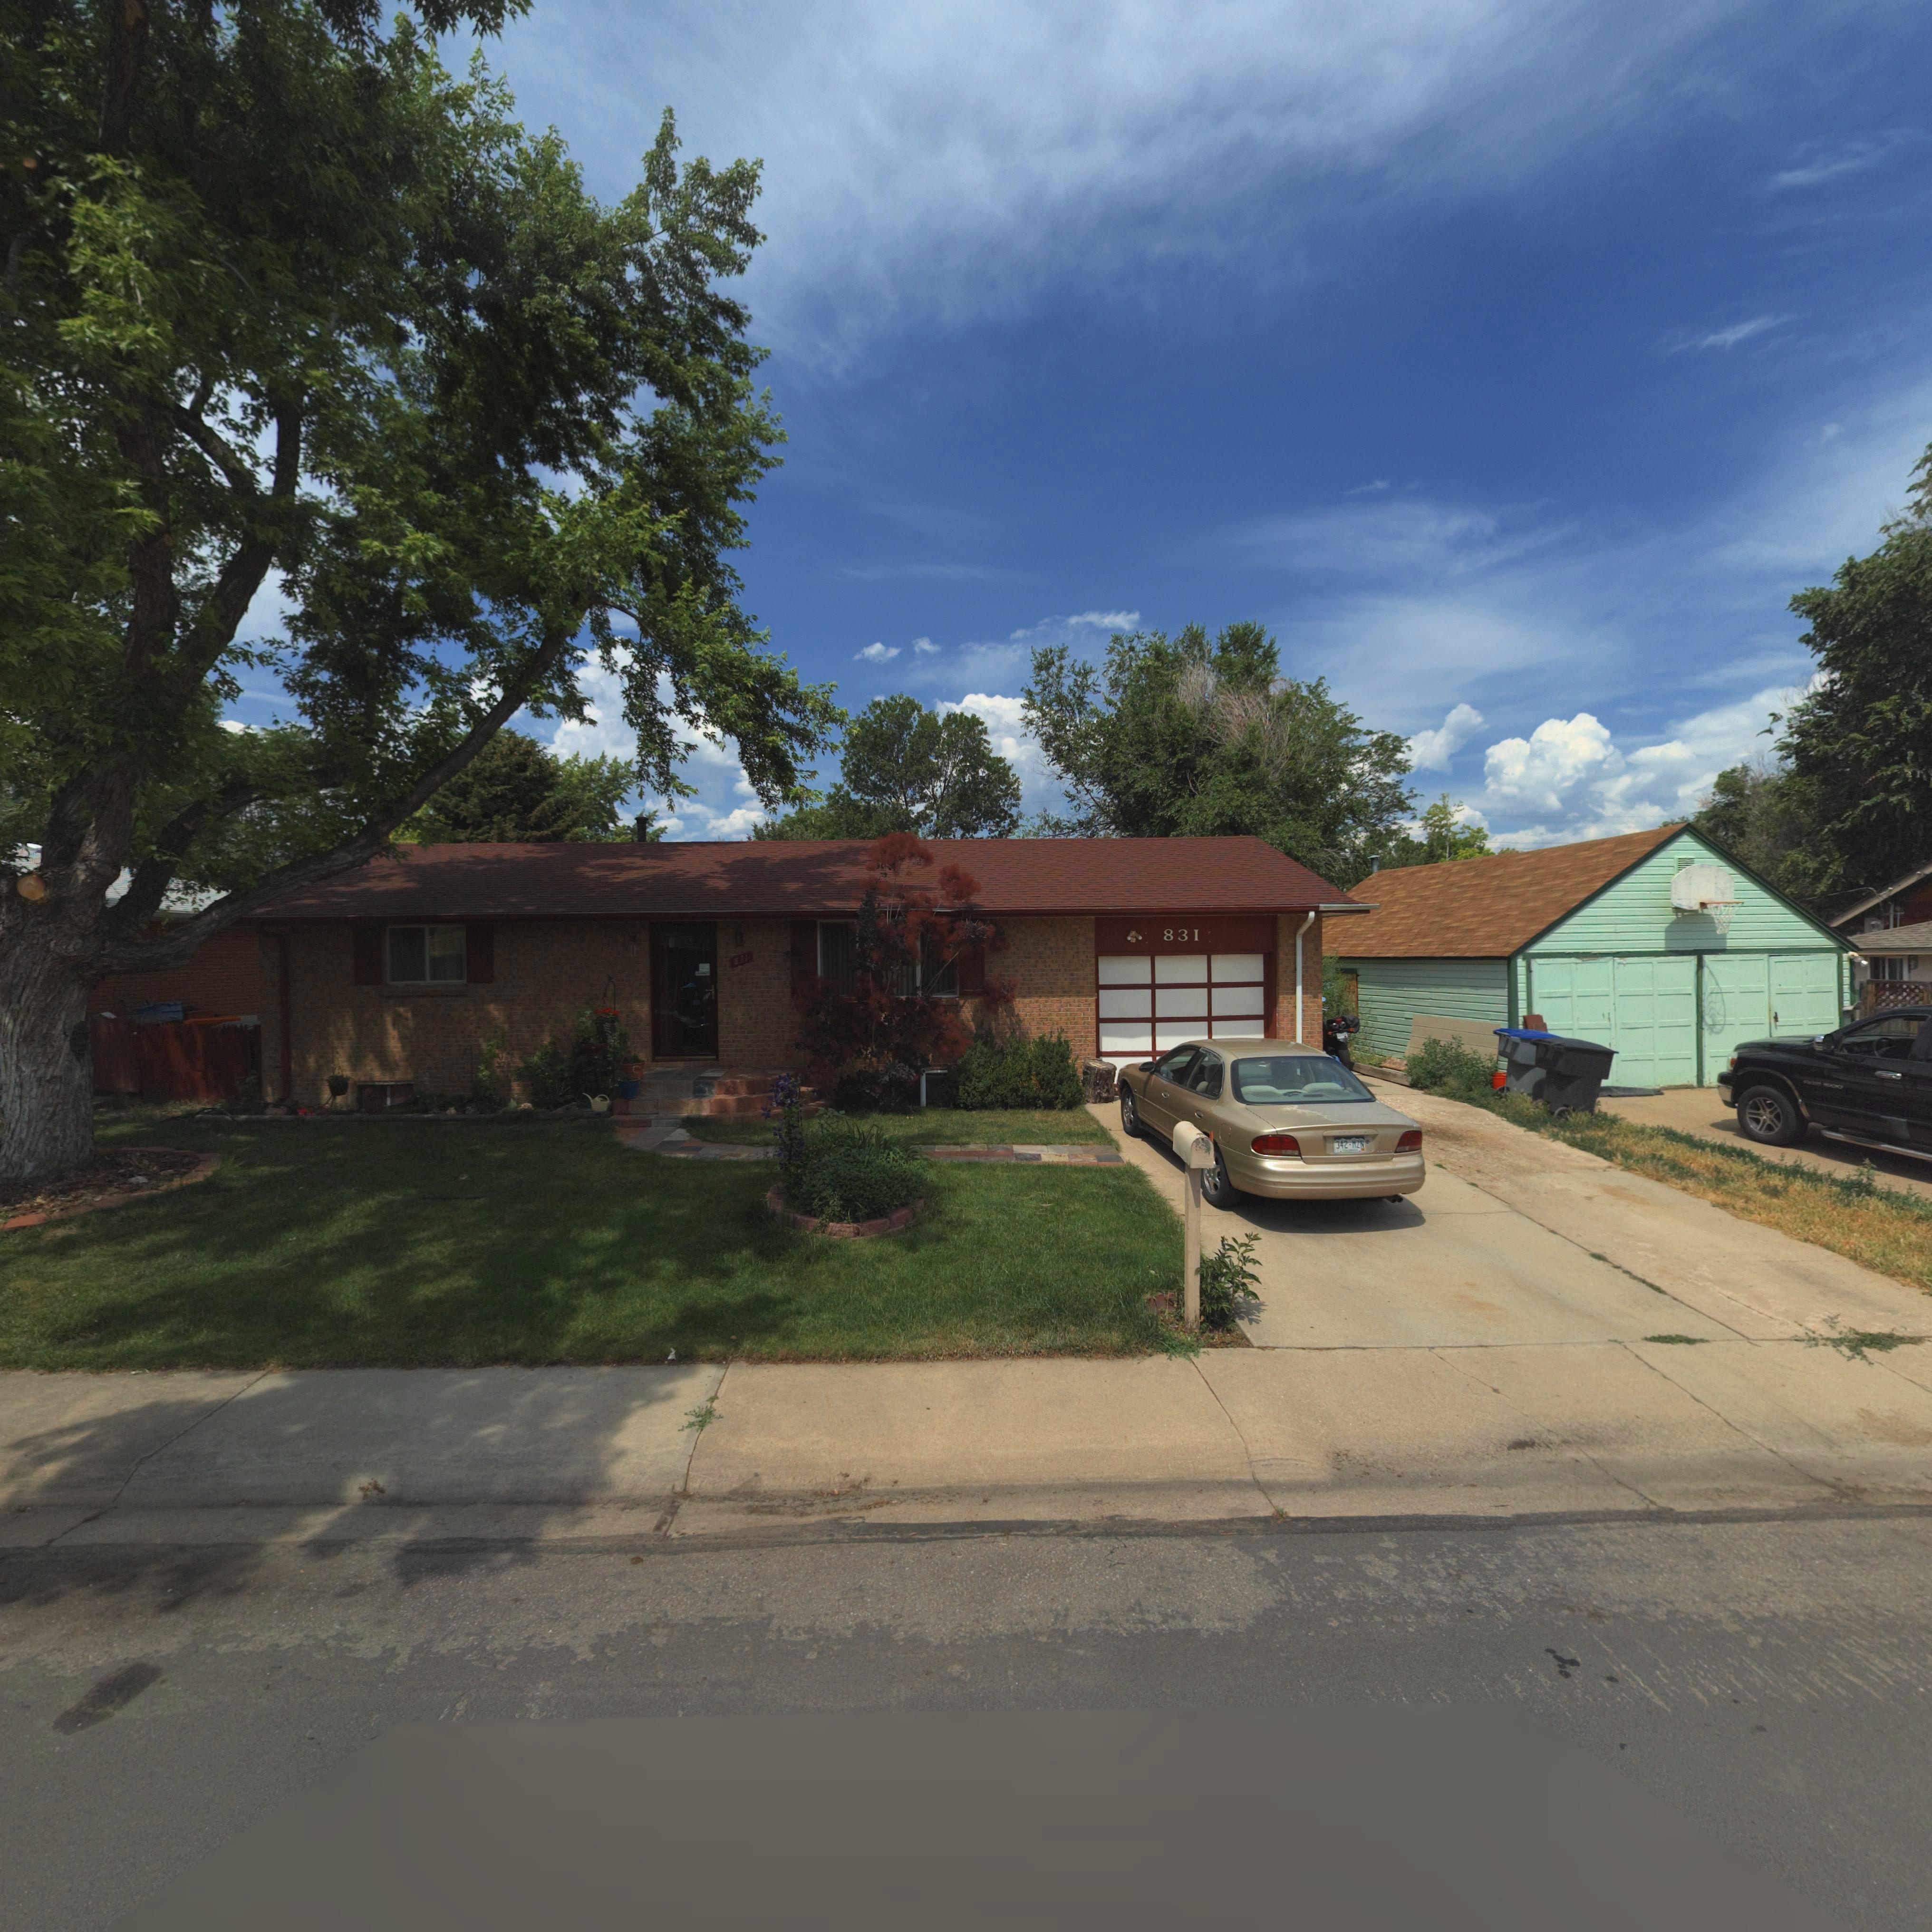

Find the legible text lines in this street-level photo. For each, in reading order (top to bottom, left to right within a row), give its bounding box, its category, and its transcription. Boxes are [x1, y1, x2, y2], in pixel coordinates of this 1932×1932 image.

[1163, 928, 1198, 941] StreetNumber: 831
[734, 953, 748, 965] StreetNumber: 831